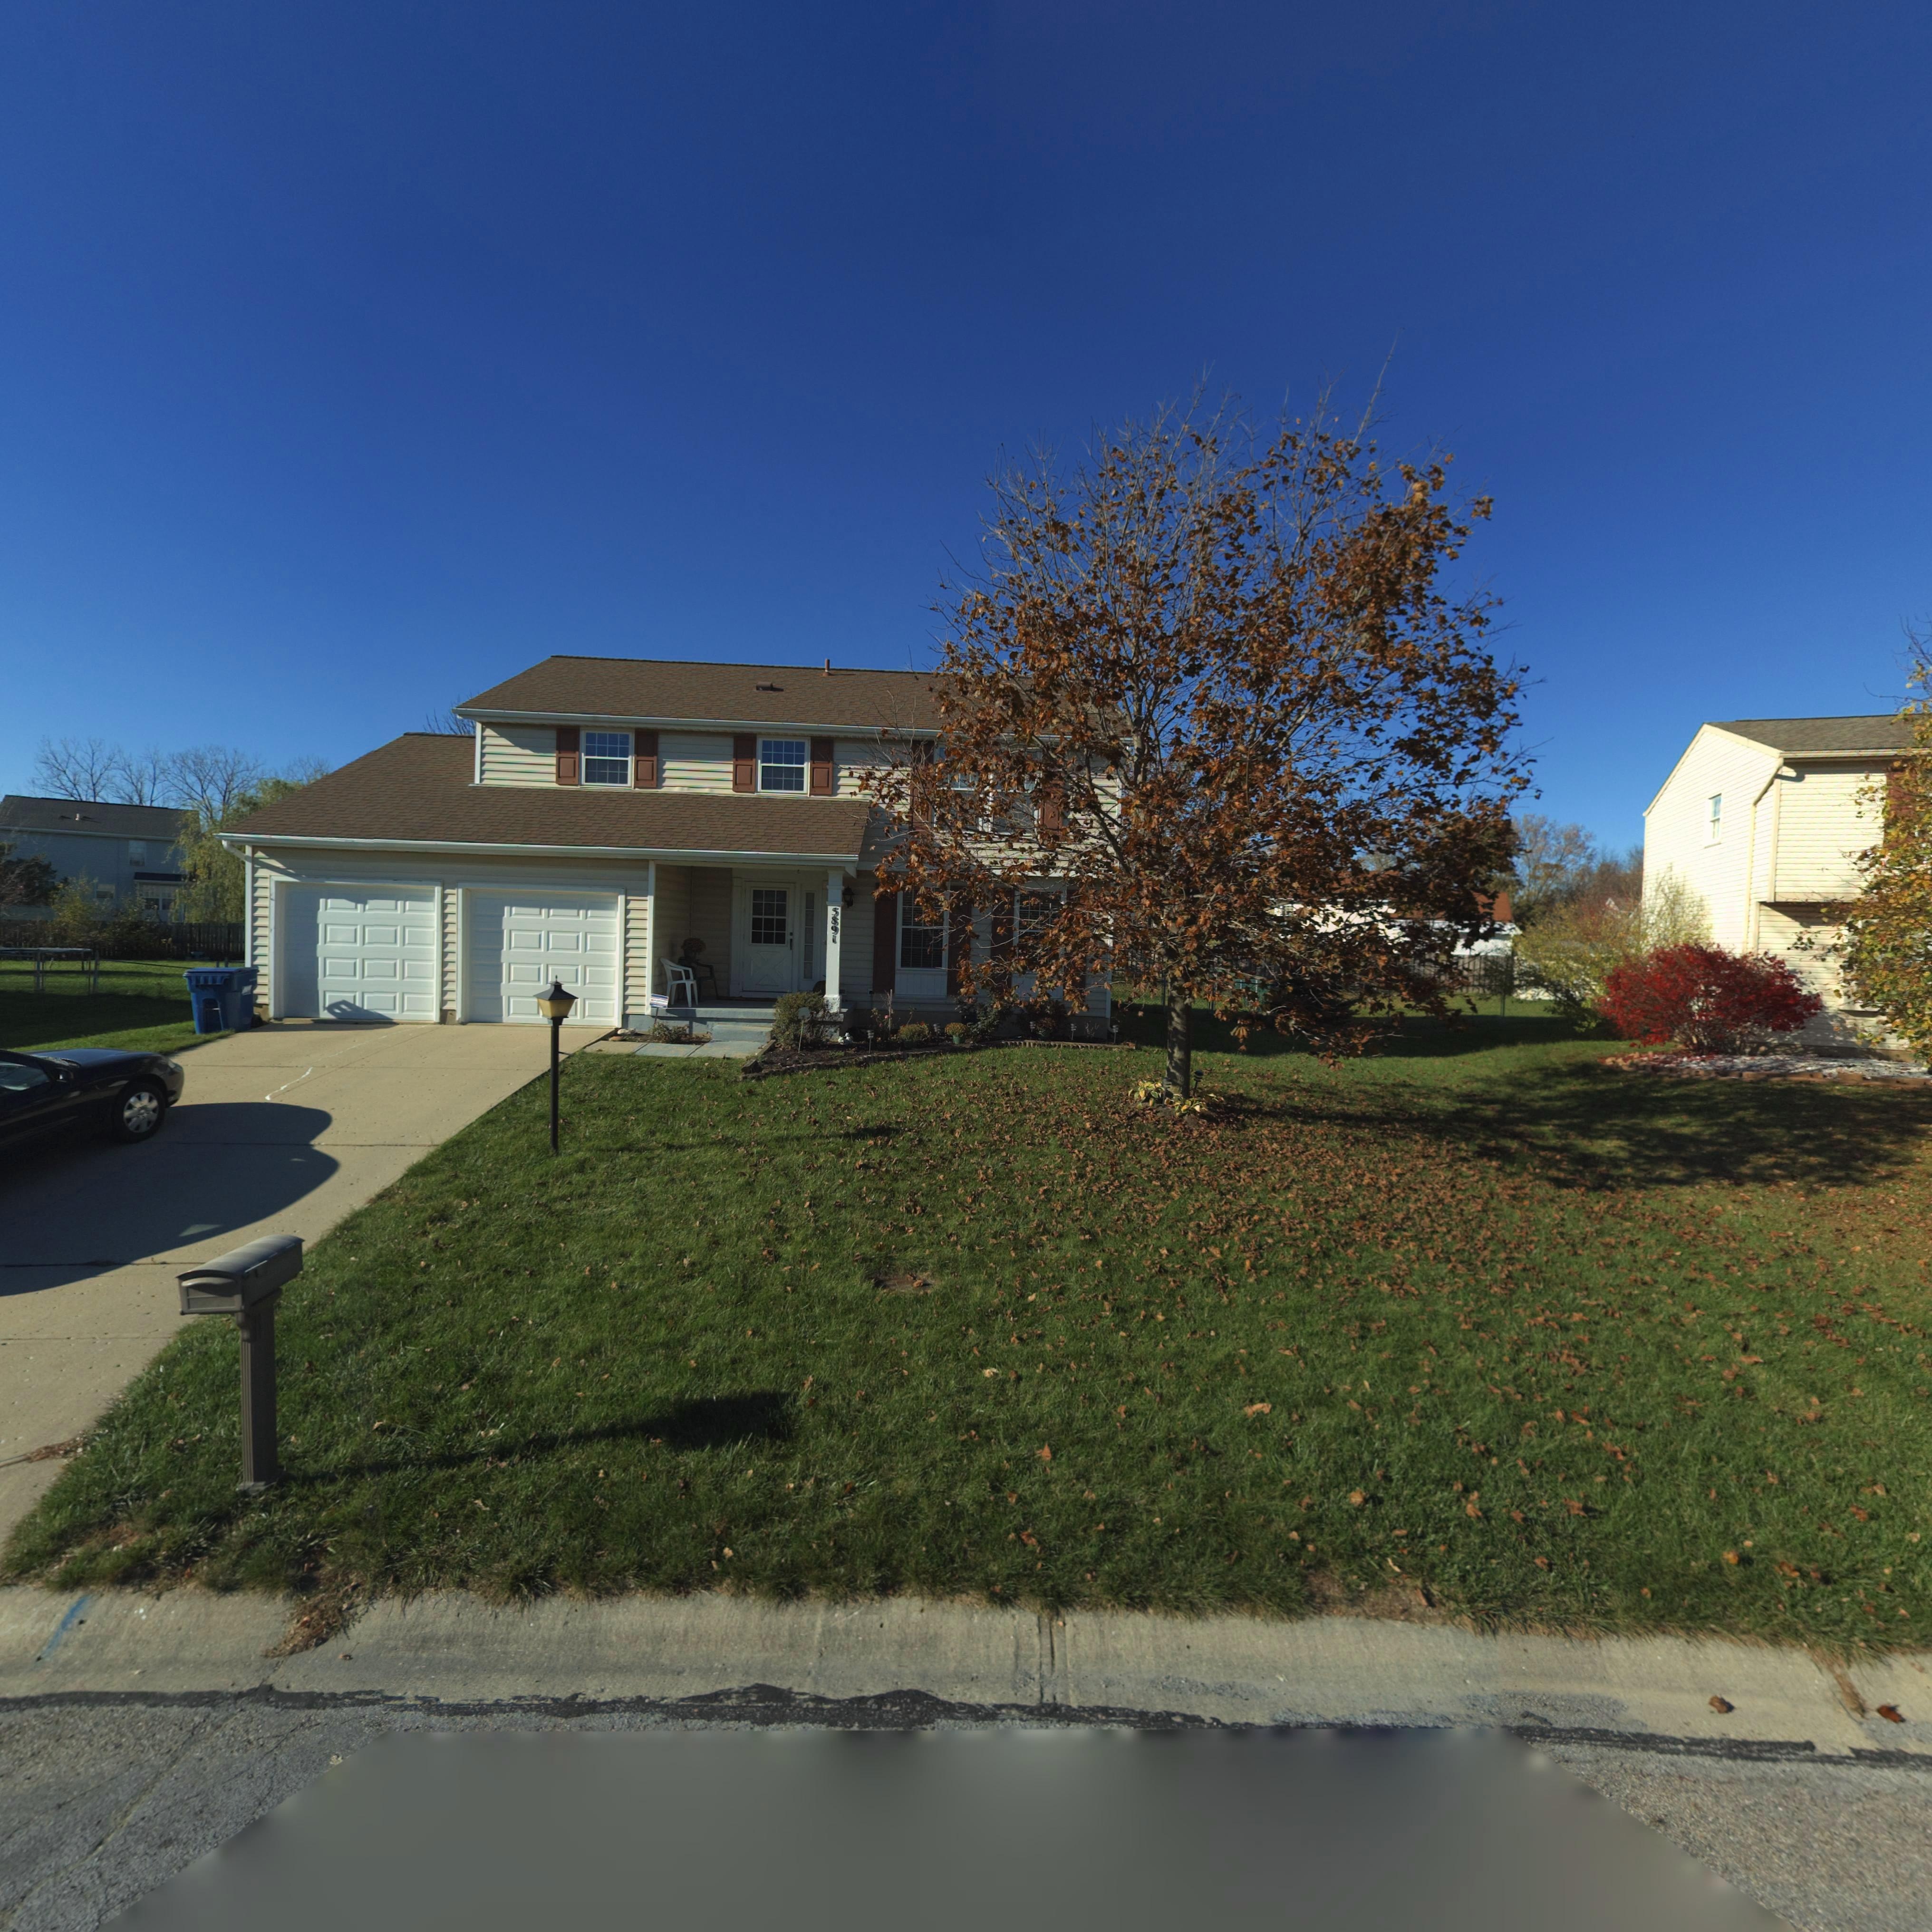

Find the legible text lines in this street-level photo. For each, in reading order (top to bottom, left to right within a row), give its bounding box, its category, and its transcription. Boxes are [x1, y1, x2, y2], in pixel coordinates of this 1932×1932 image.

[830, 907, 838, 944] StreetNumber: 5891